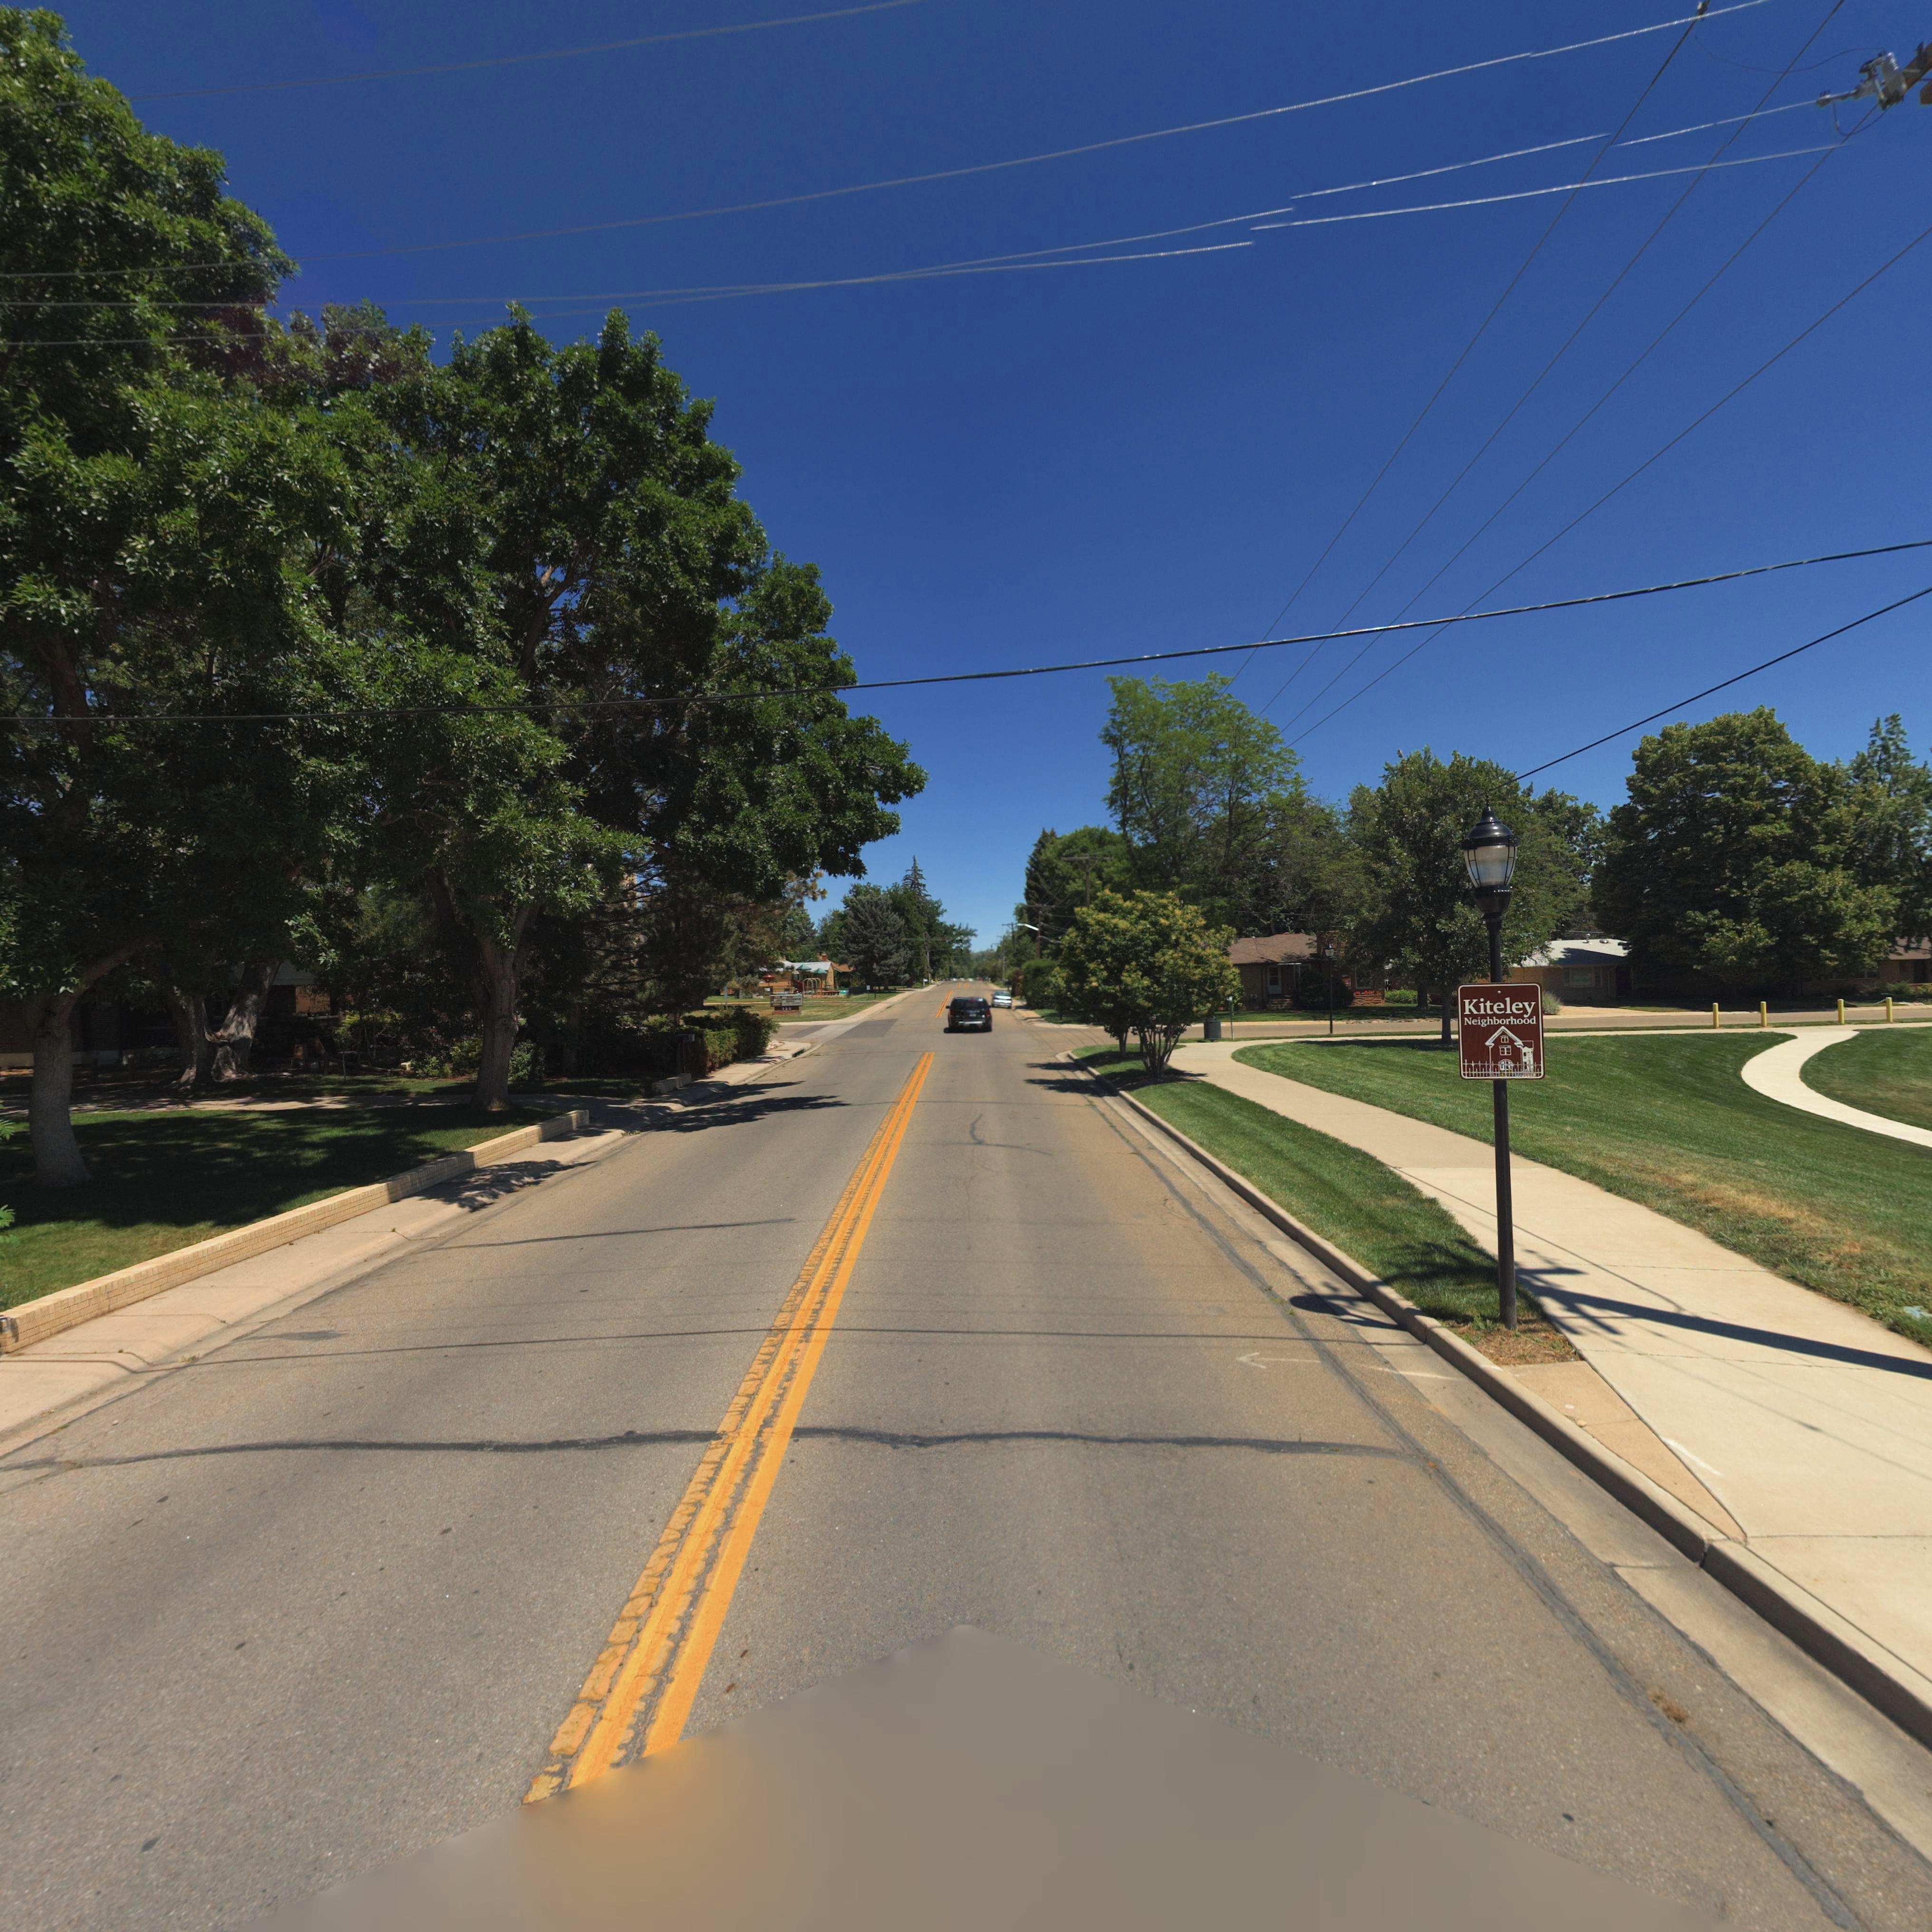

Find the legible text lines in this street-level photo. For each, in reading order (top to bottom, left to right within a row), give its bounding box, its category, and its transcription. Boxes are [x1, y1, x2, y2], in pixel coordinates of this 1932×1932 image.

[1465, 1016, 1536, 1027] BusinessName: Neighborhood